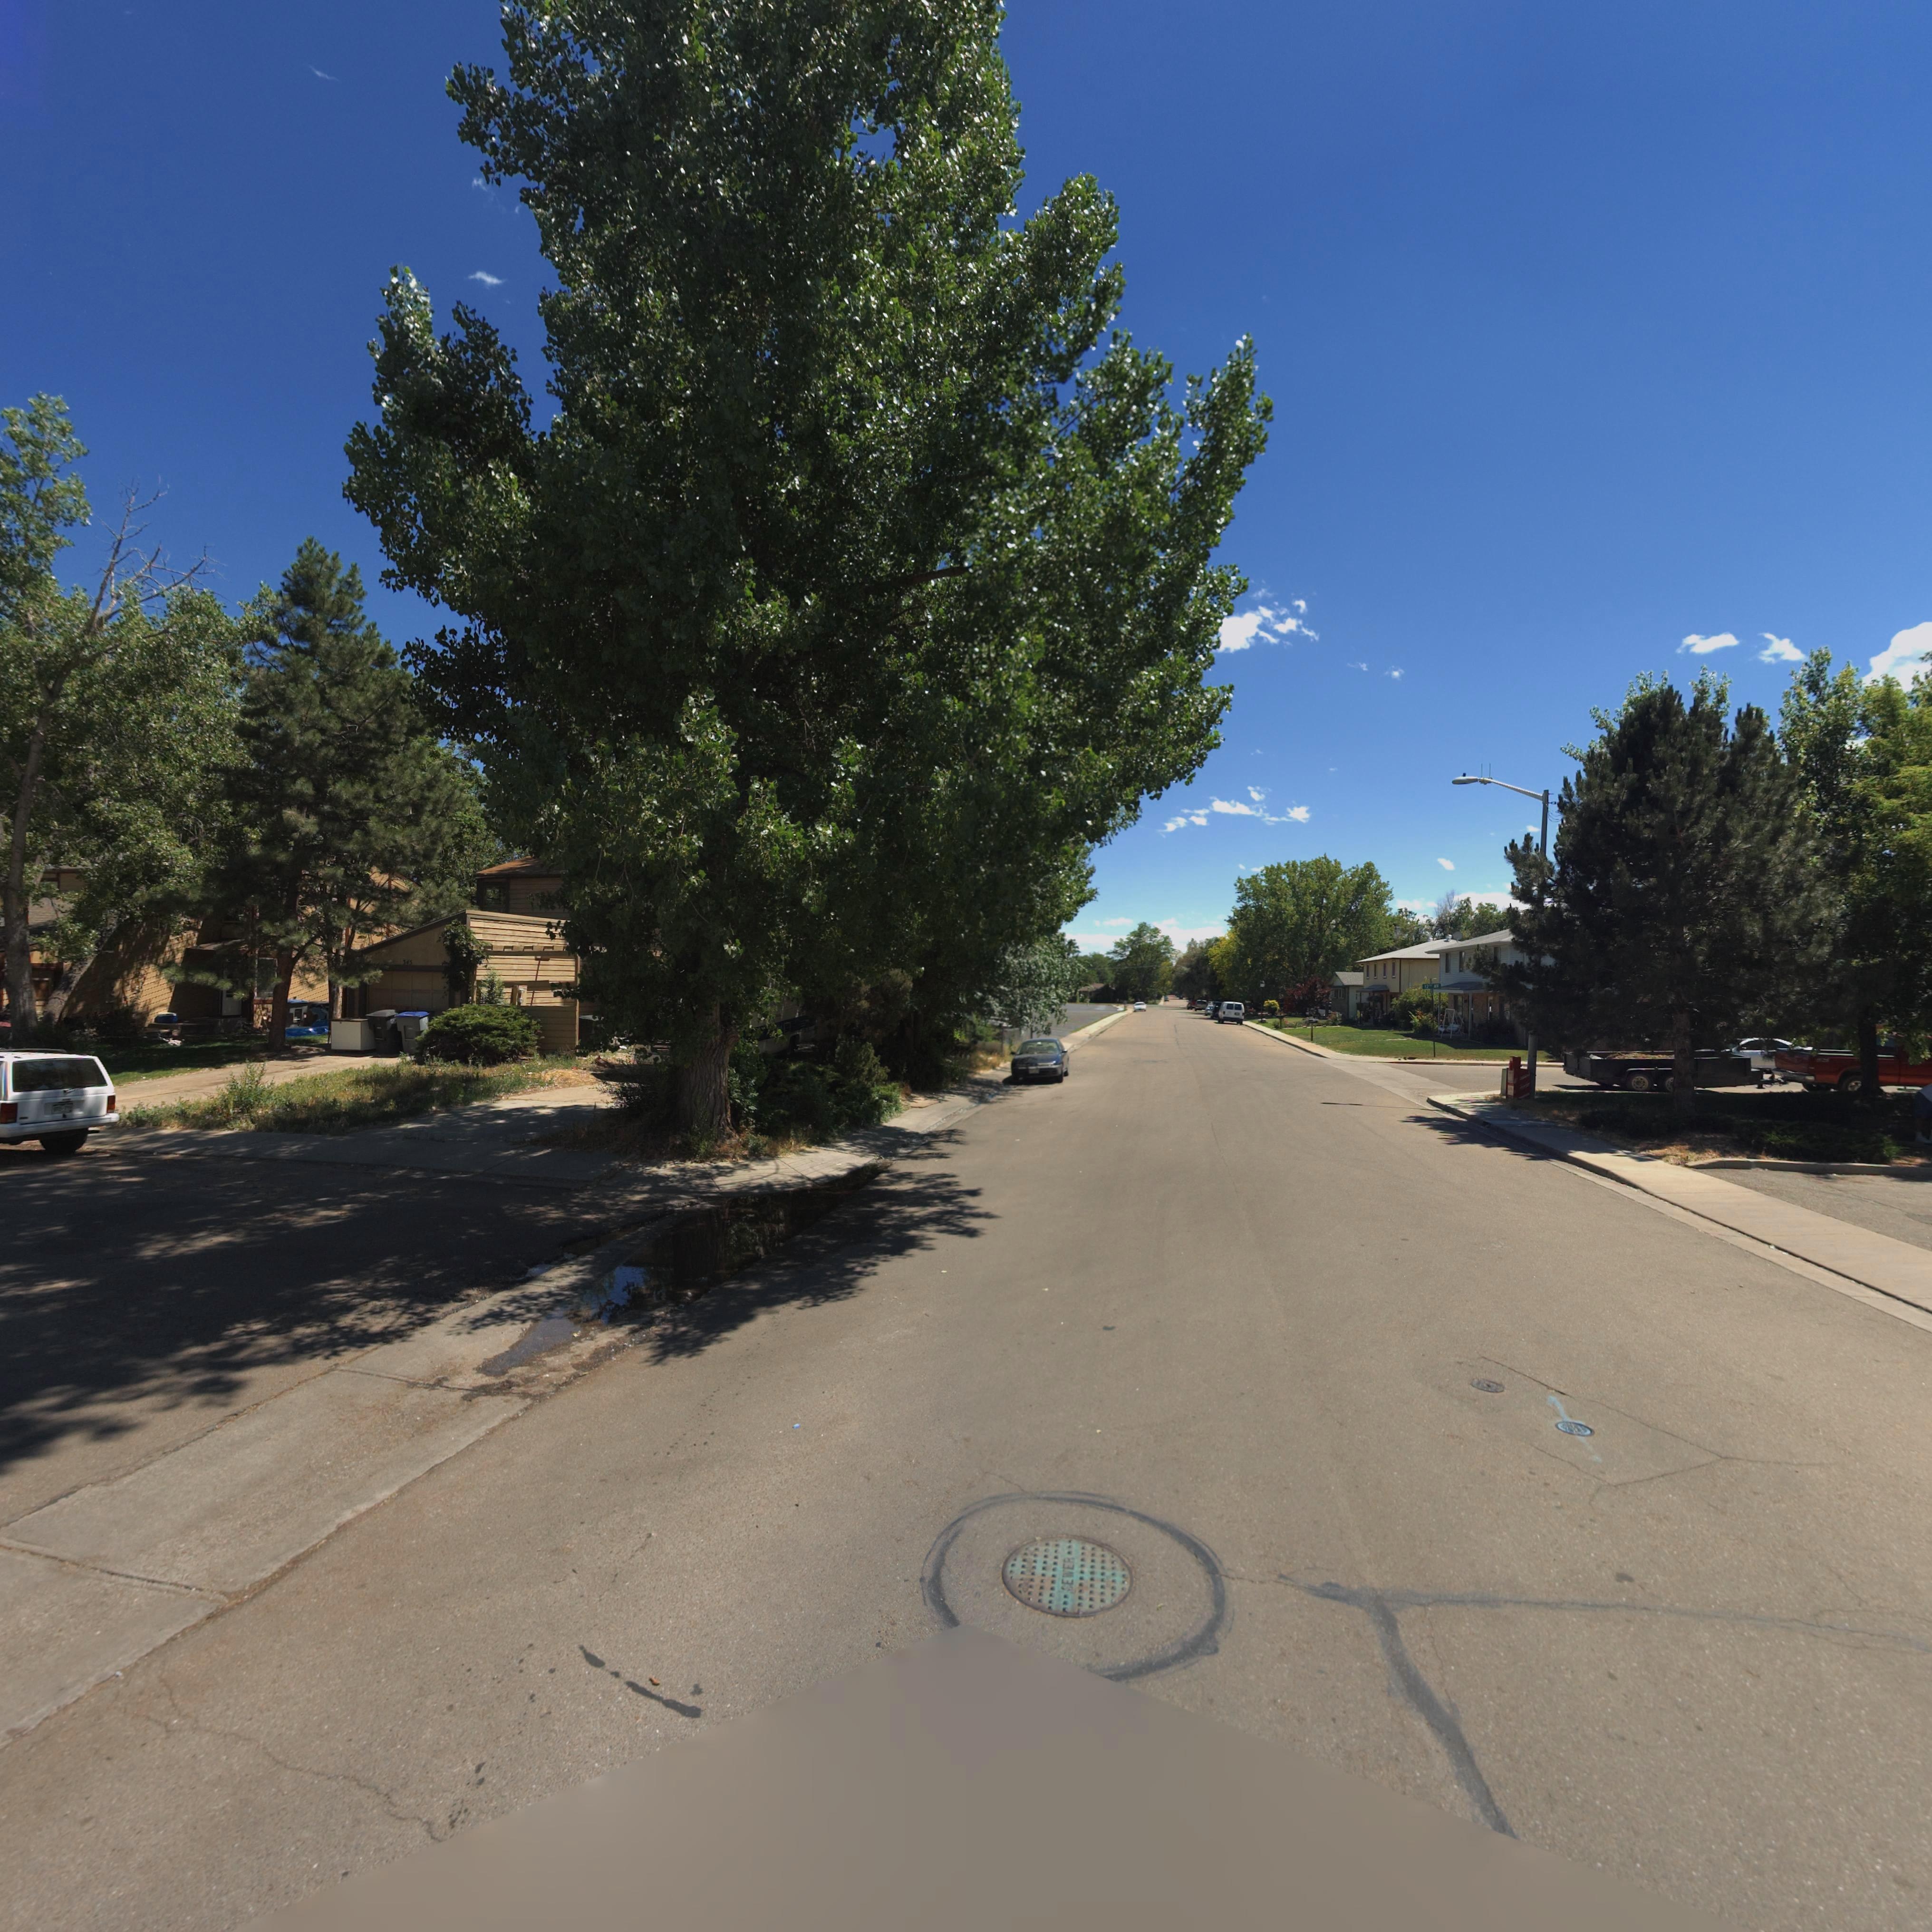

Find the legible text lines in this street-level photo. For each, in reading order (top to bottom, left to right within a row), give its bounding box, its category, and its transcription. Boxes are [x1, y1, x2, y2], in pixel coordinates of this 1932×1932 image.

[402, 959, 412, 965] StreetNumber: 345
[1424, 983, 1439, 988] StreetName: 12** **